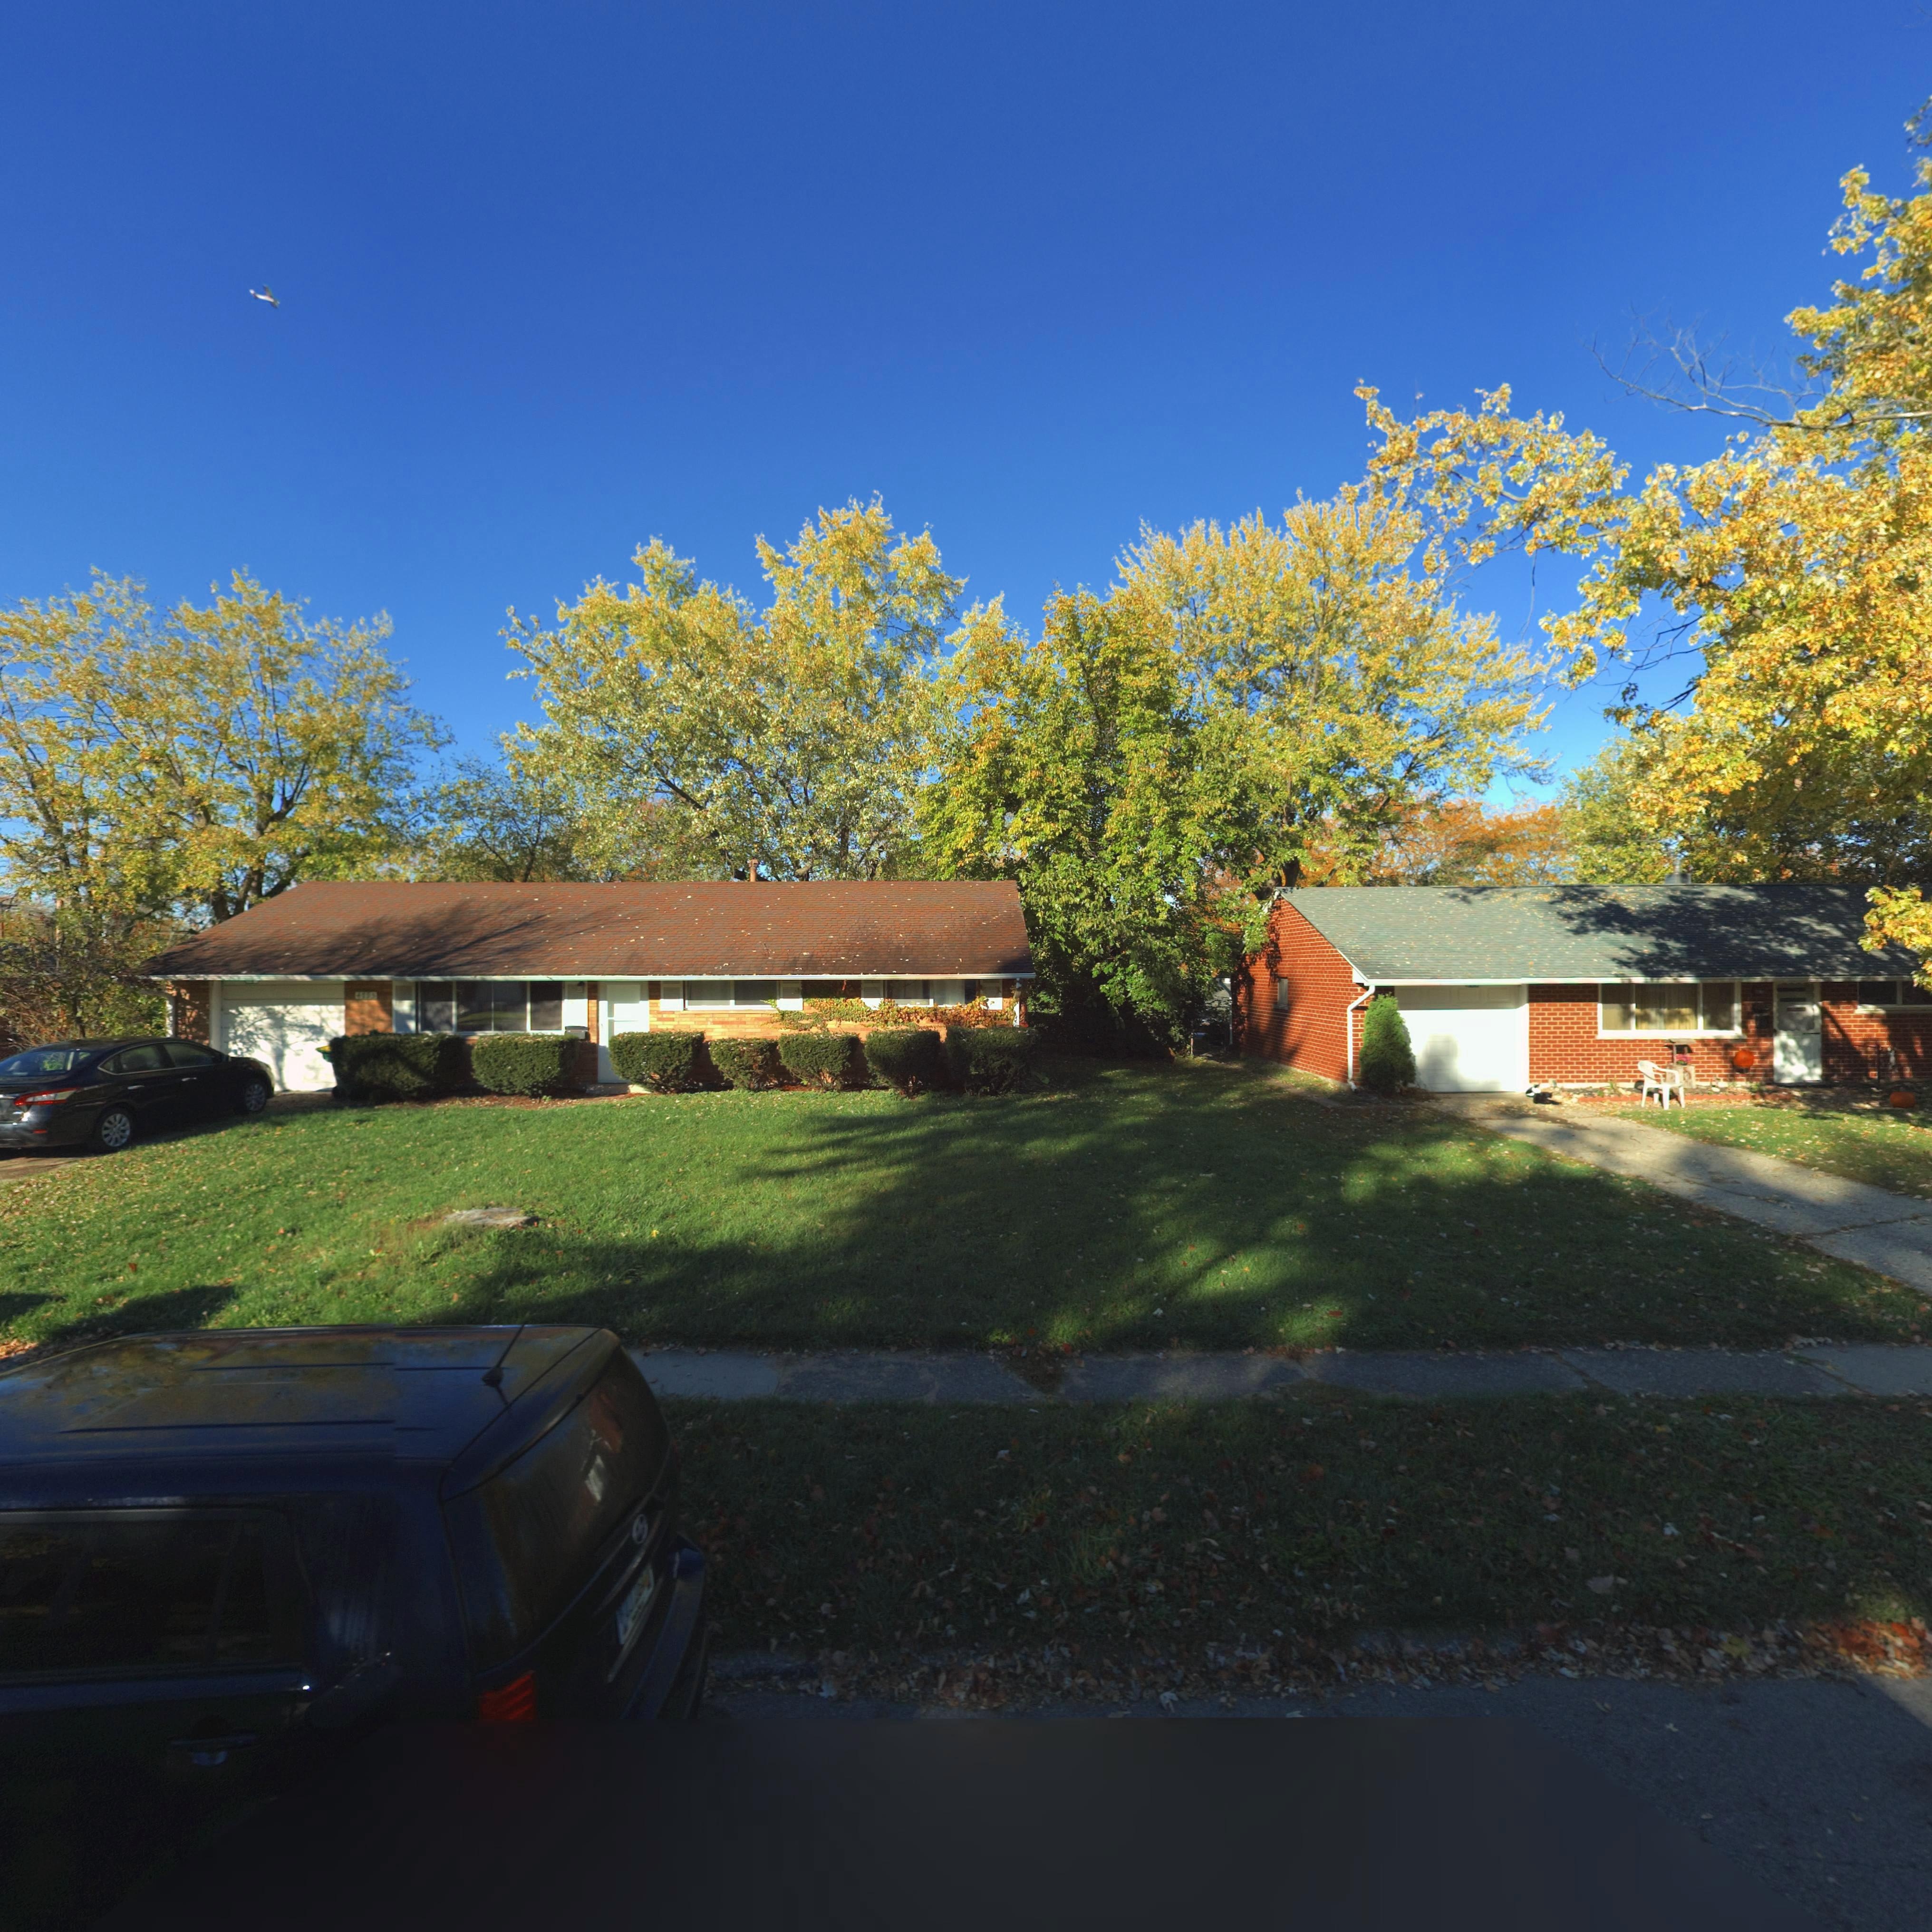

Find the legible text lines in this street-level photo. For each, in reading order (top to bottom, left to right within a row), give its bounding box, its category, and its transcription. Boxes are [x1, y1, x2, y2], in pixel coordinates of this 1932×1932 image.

[355, 992, 376, 1000] StreetNumber: 4195